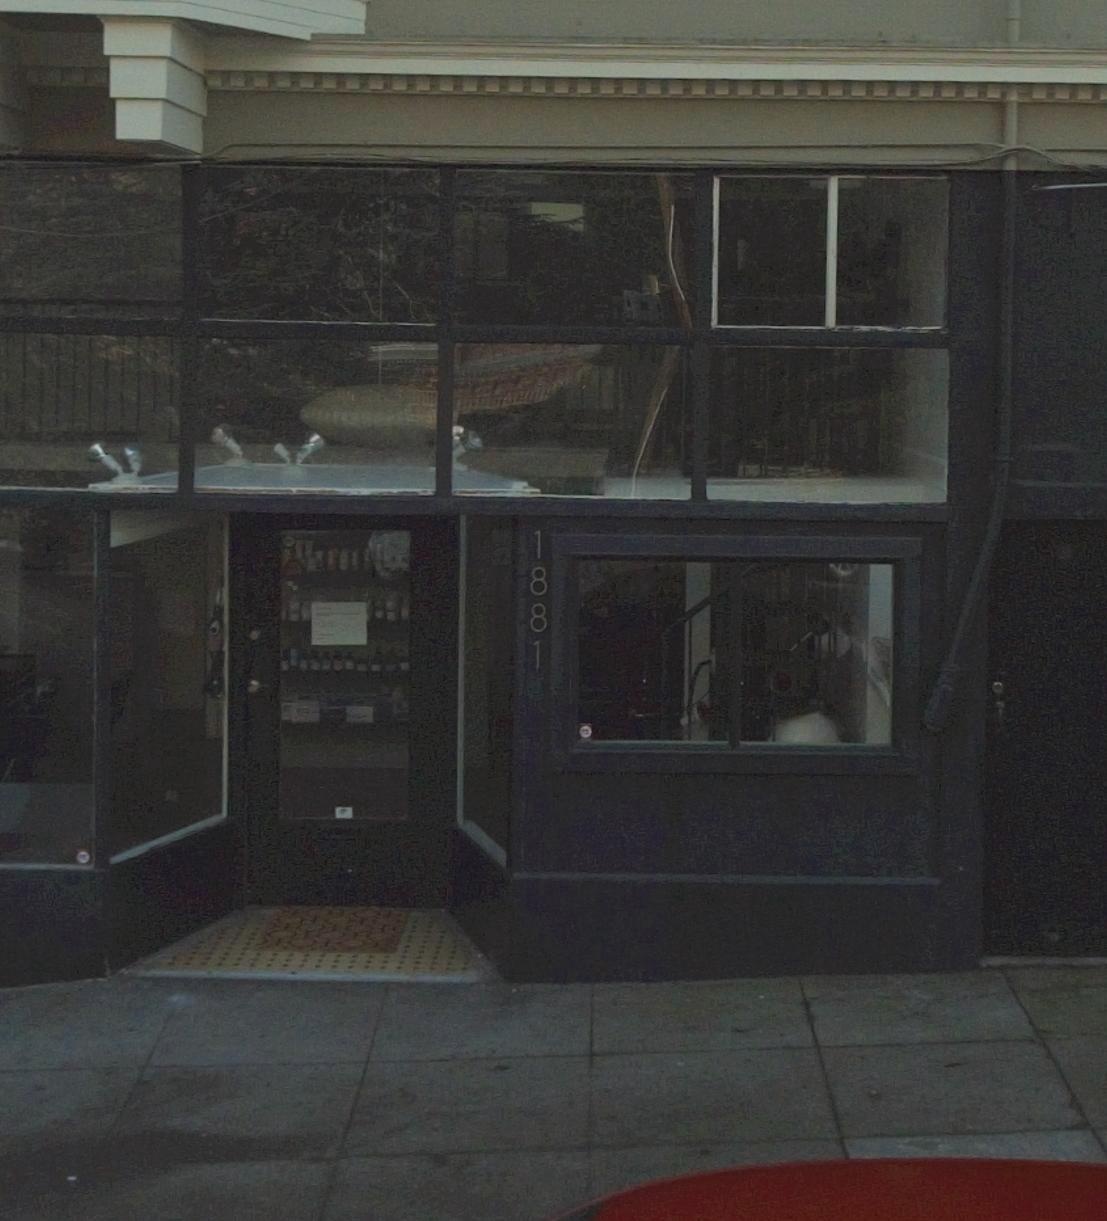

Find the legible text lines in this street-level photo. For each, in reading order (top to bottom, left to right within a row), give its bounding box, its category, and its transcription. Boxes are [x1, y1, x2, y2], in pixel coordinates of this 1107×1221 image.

[526, 526, 551, 674] StreetNumber: 1881